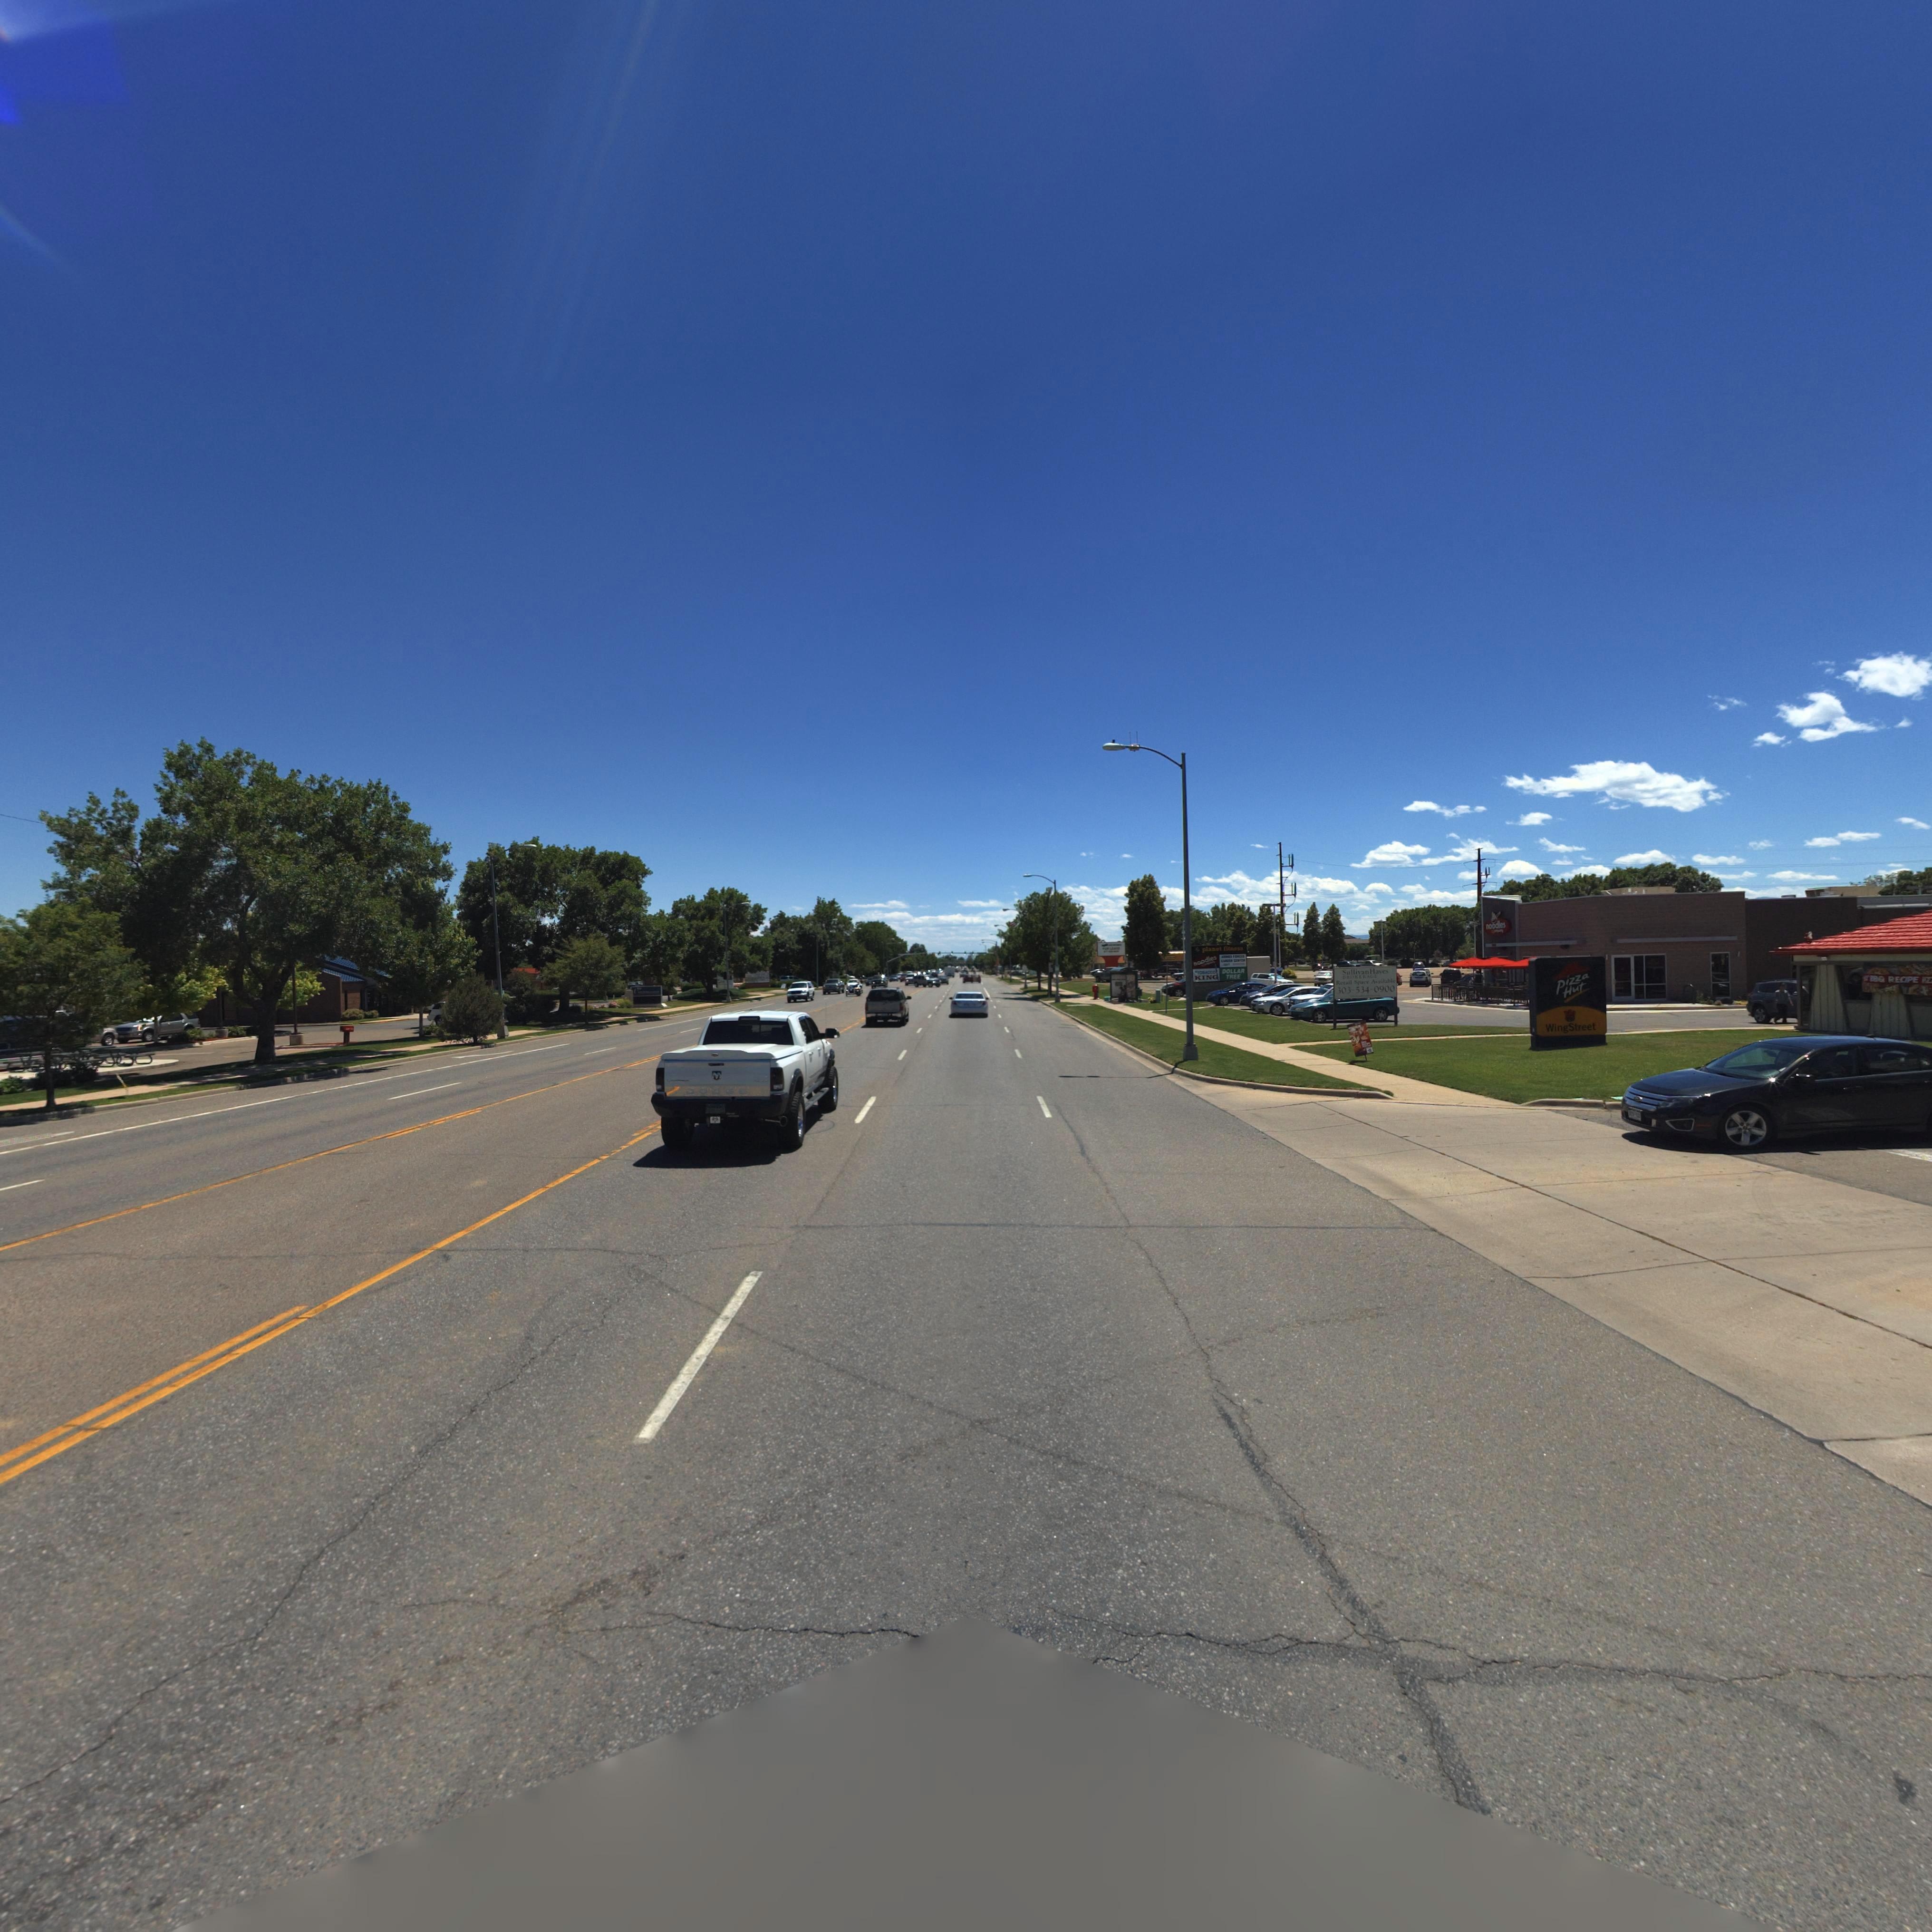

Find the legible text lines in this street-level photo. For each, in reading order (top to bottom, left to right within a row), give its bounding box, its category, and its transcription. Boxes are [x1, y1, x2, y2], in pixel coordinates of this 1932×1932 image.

[1486, 920, 1506, 929] BusinessName: noo**es
[1202, 946, 1243, 953] BusinessName: planet fitn*ss
[1193, 955, 1217, 966] BusinessName: noodles
[1194, 975, 1217, 980] BusinessName: KIN*
[1197, 970, 1216, 974] BusinessName: TO***CO
[1222, 968, 1245, 974] BusinessName: DOLLAR
[1226, 974, 1241, 979] BusinessName: TREE
[1556, 973, 1589, 995] BusinessName: pizza
[1564, 982, 1584, 998] BusinessName: Hut
[1545, 1022, 1596, 1034] BusinessName: WingStreet